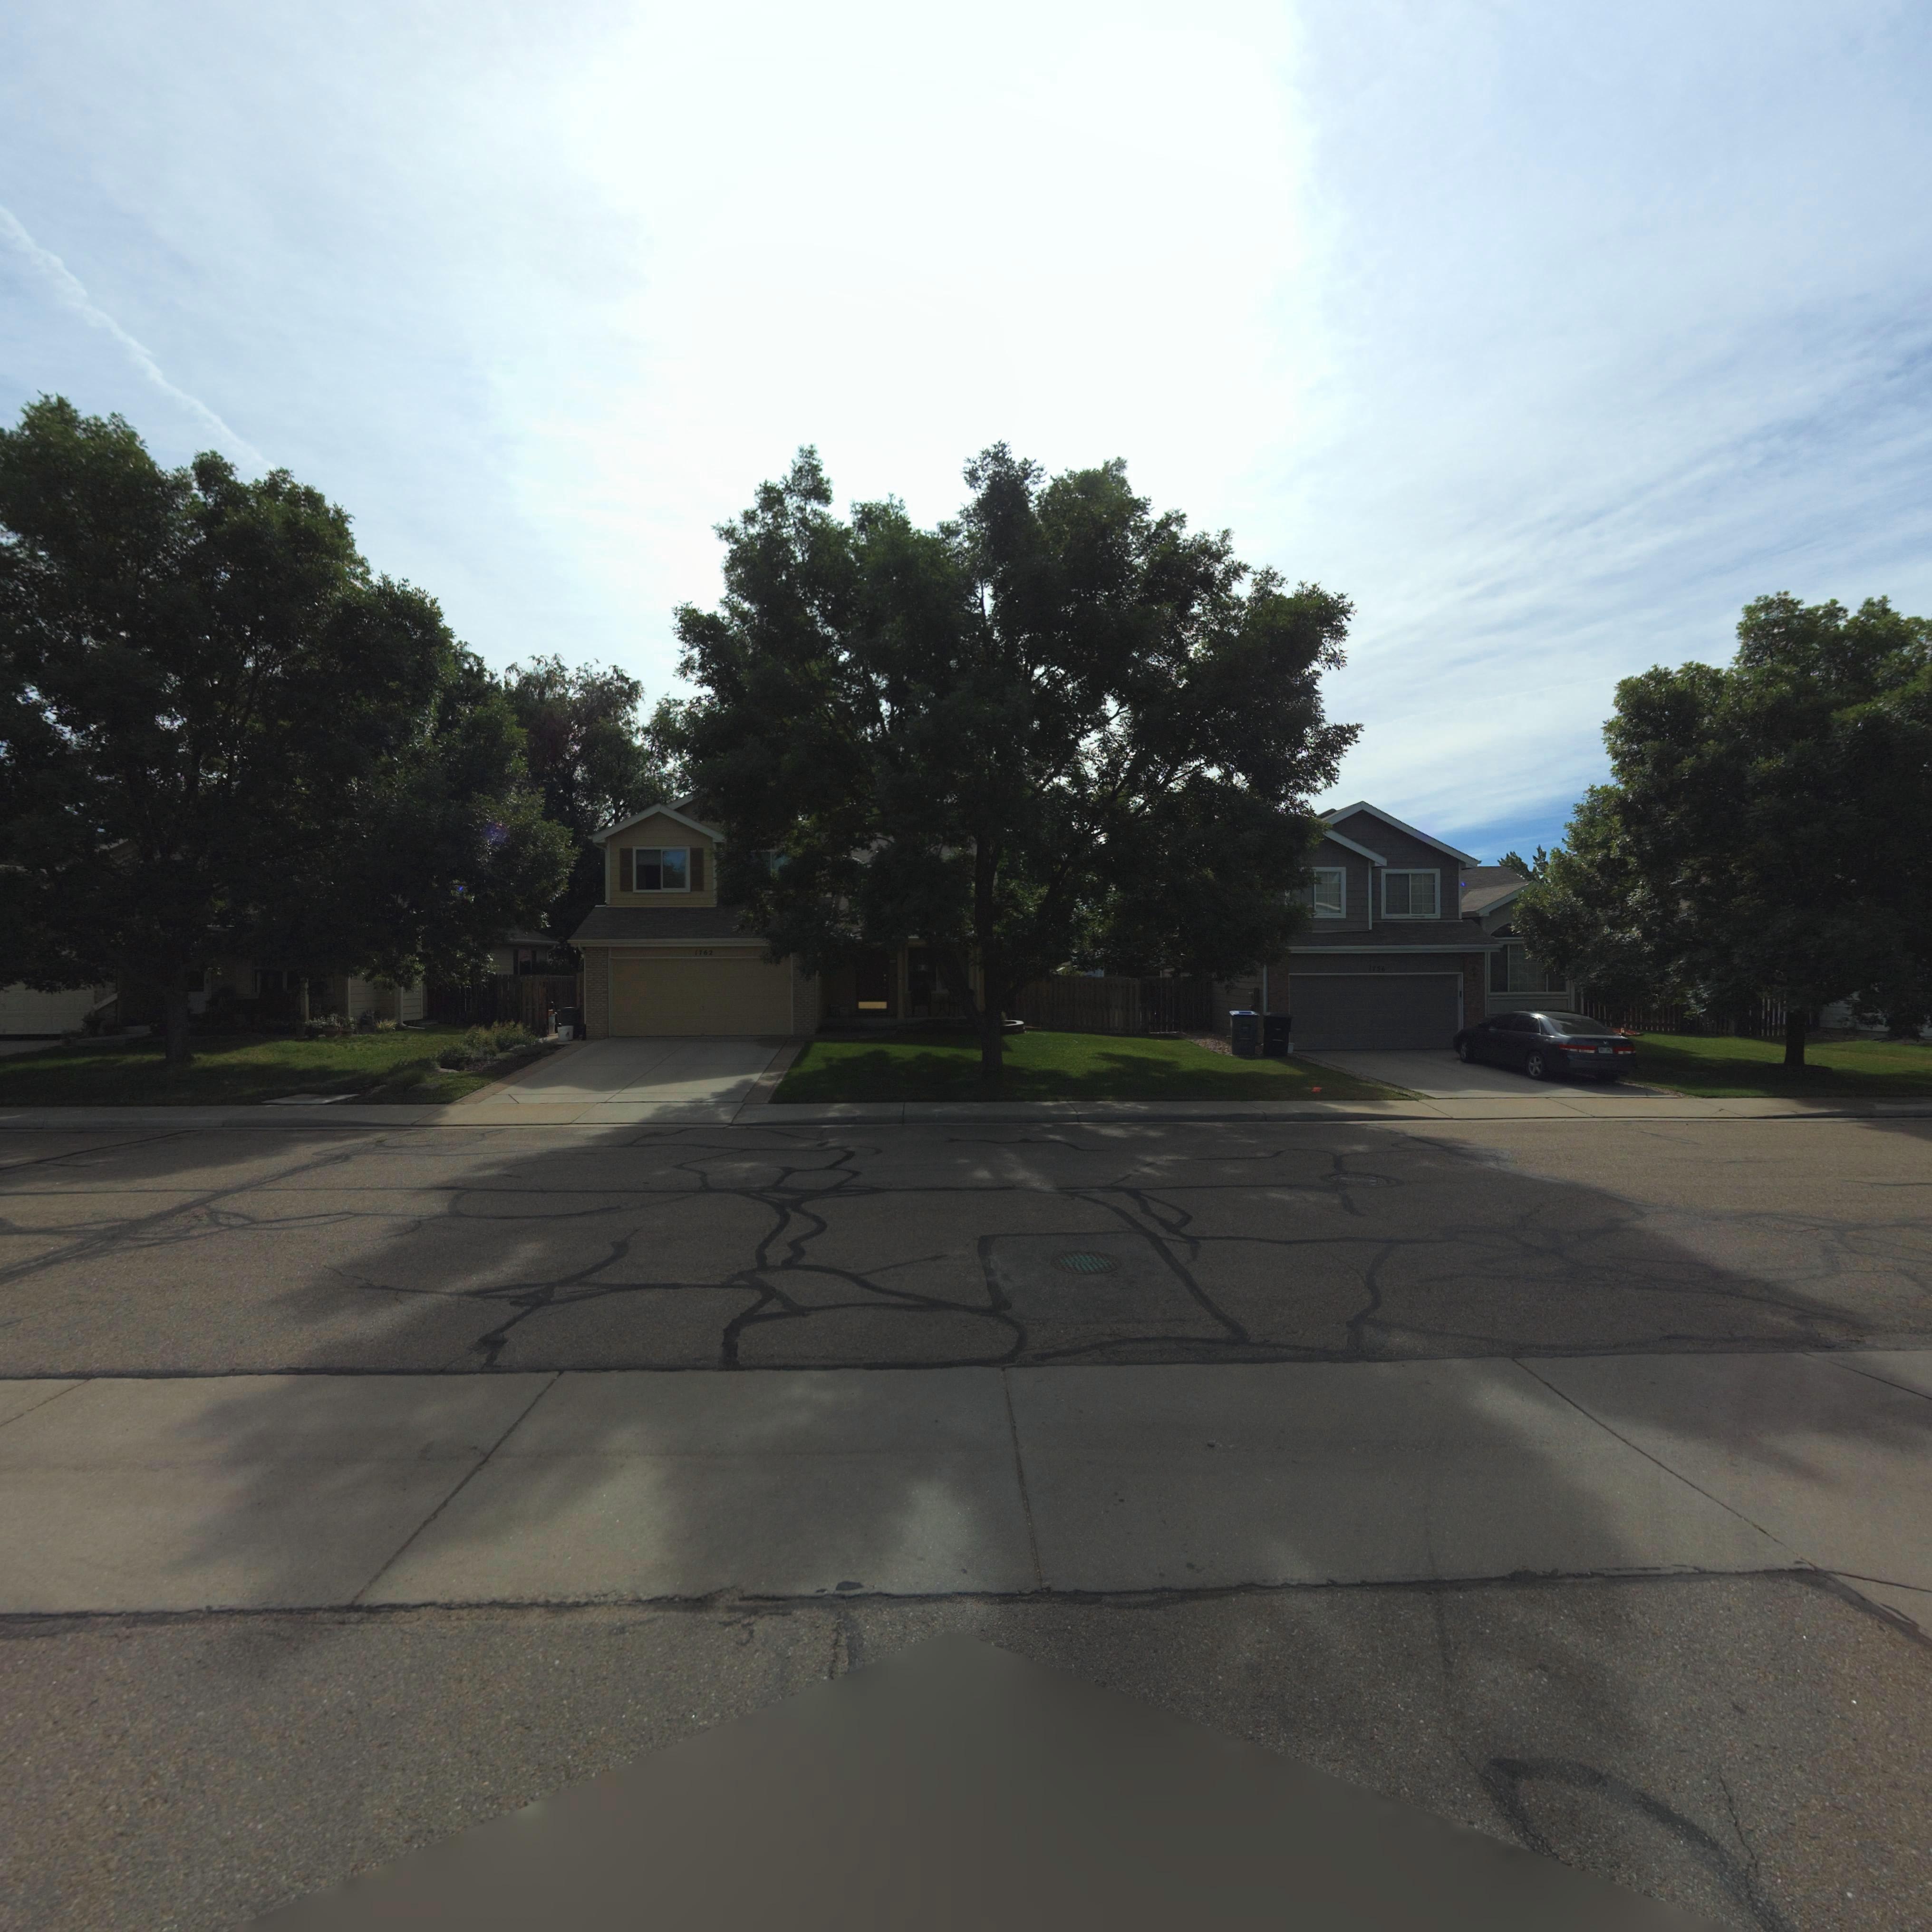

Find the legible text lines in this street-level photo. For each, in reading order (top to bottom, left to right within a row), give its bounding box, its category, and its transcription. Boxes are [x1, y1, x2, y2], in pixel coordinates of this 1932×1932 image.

[694, 948, 714, 956] StreetNumber: 1762
[1367, 964, 1385, 972] StreetNumber: 1756